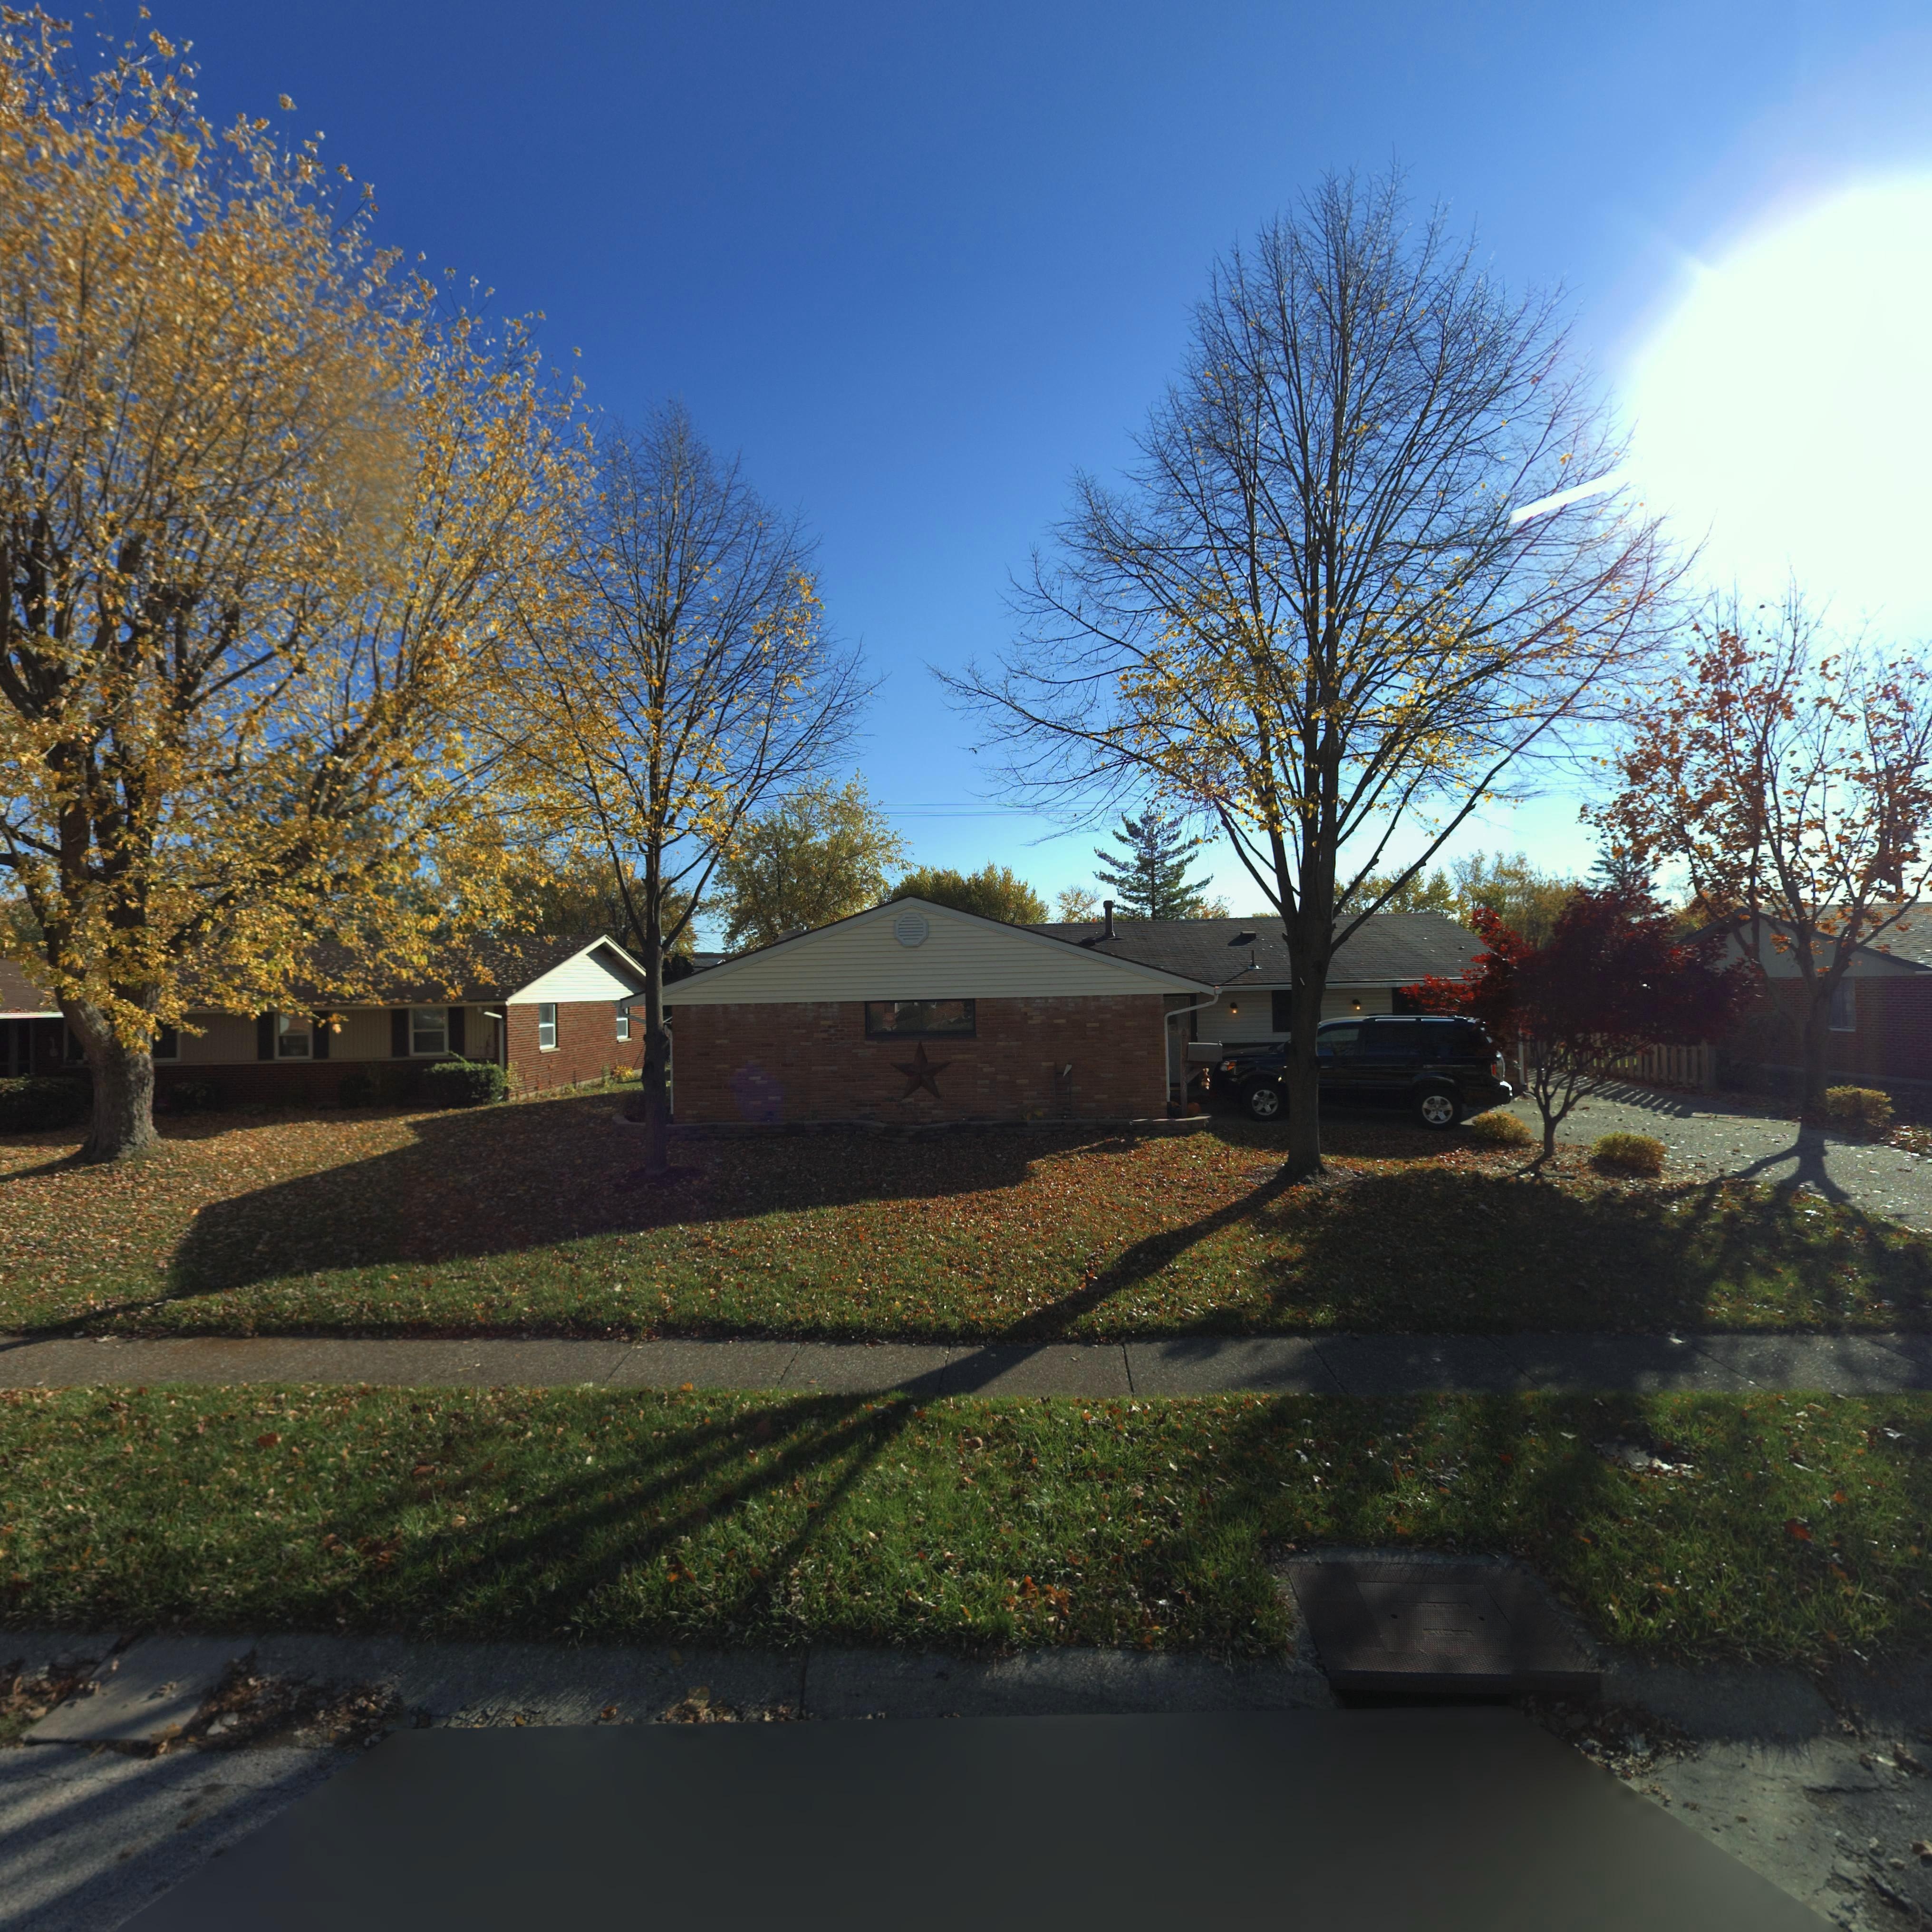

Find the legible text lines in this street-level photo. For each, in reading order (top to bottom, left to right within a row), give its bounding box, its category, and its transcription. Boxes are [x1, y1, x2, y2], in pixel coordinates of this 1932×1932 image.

[1181, 1066, 1188, 1094] StreetNumber: 7636